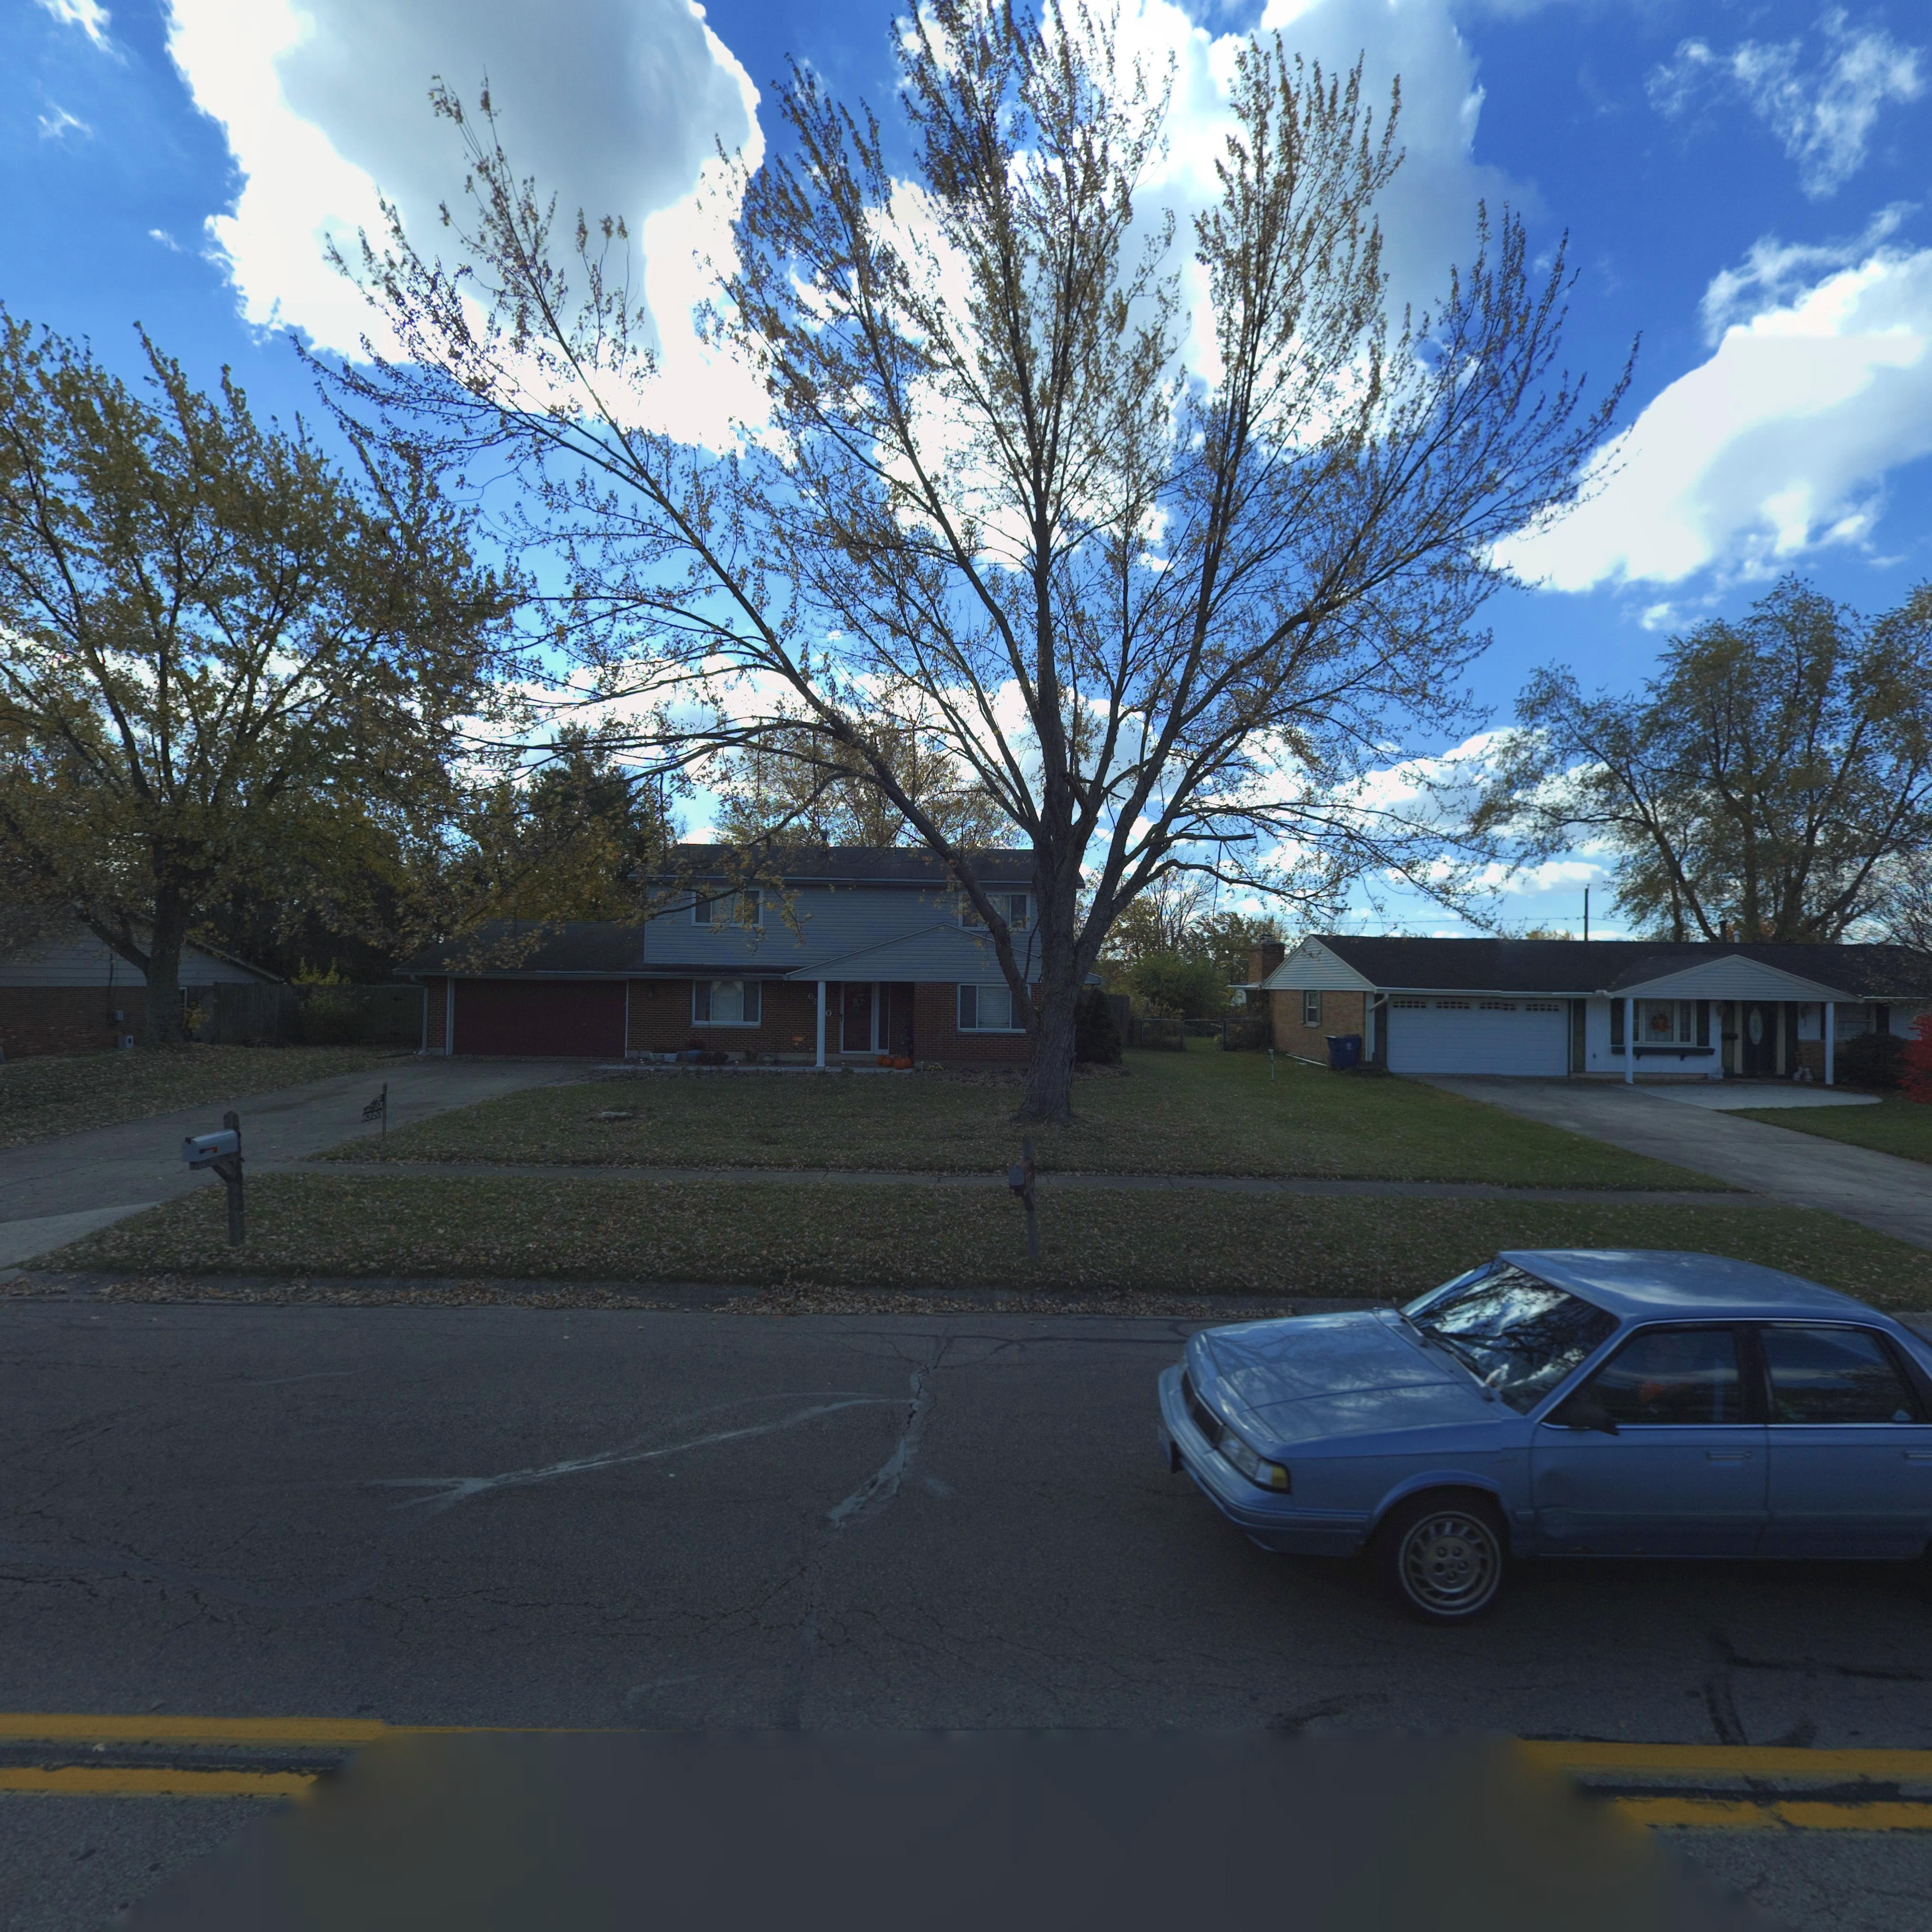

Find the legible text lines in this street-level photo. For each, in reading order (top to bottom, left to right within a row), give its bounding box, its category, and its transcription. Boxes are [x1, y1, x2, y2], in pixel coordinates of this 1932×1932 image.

[808, 992, 832, 1017] StreetNumber: 6**0
[362, 1110, 382, 1121] StreetNumber: 6320
[234, 1170, 244, 1185] StreetNumber: 0